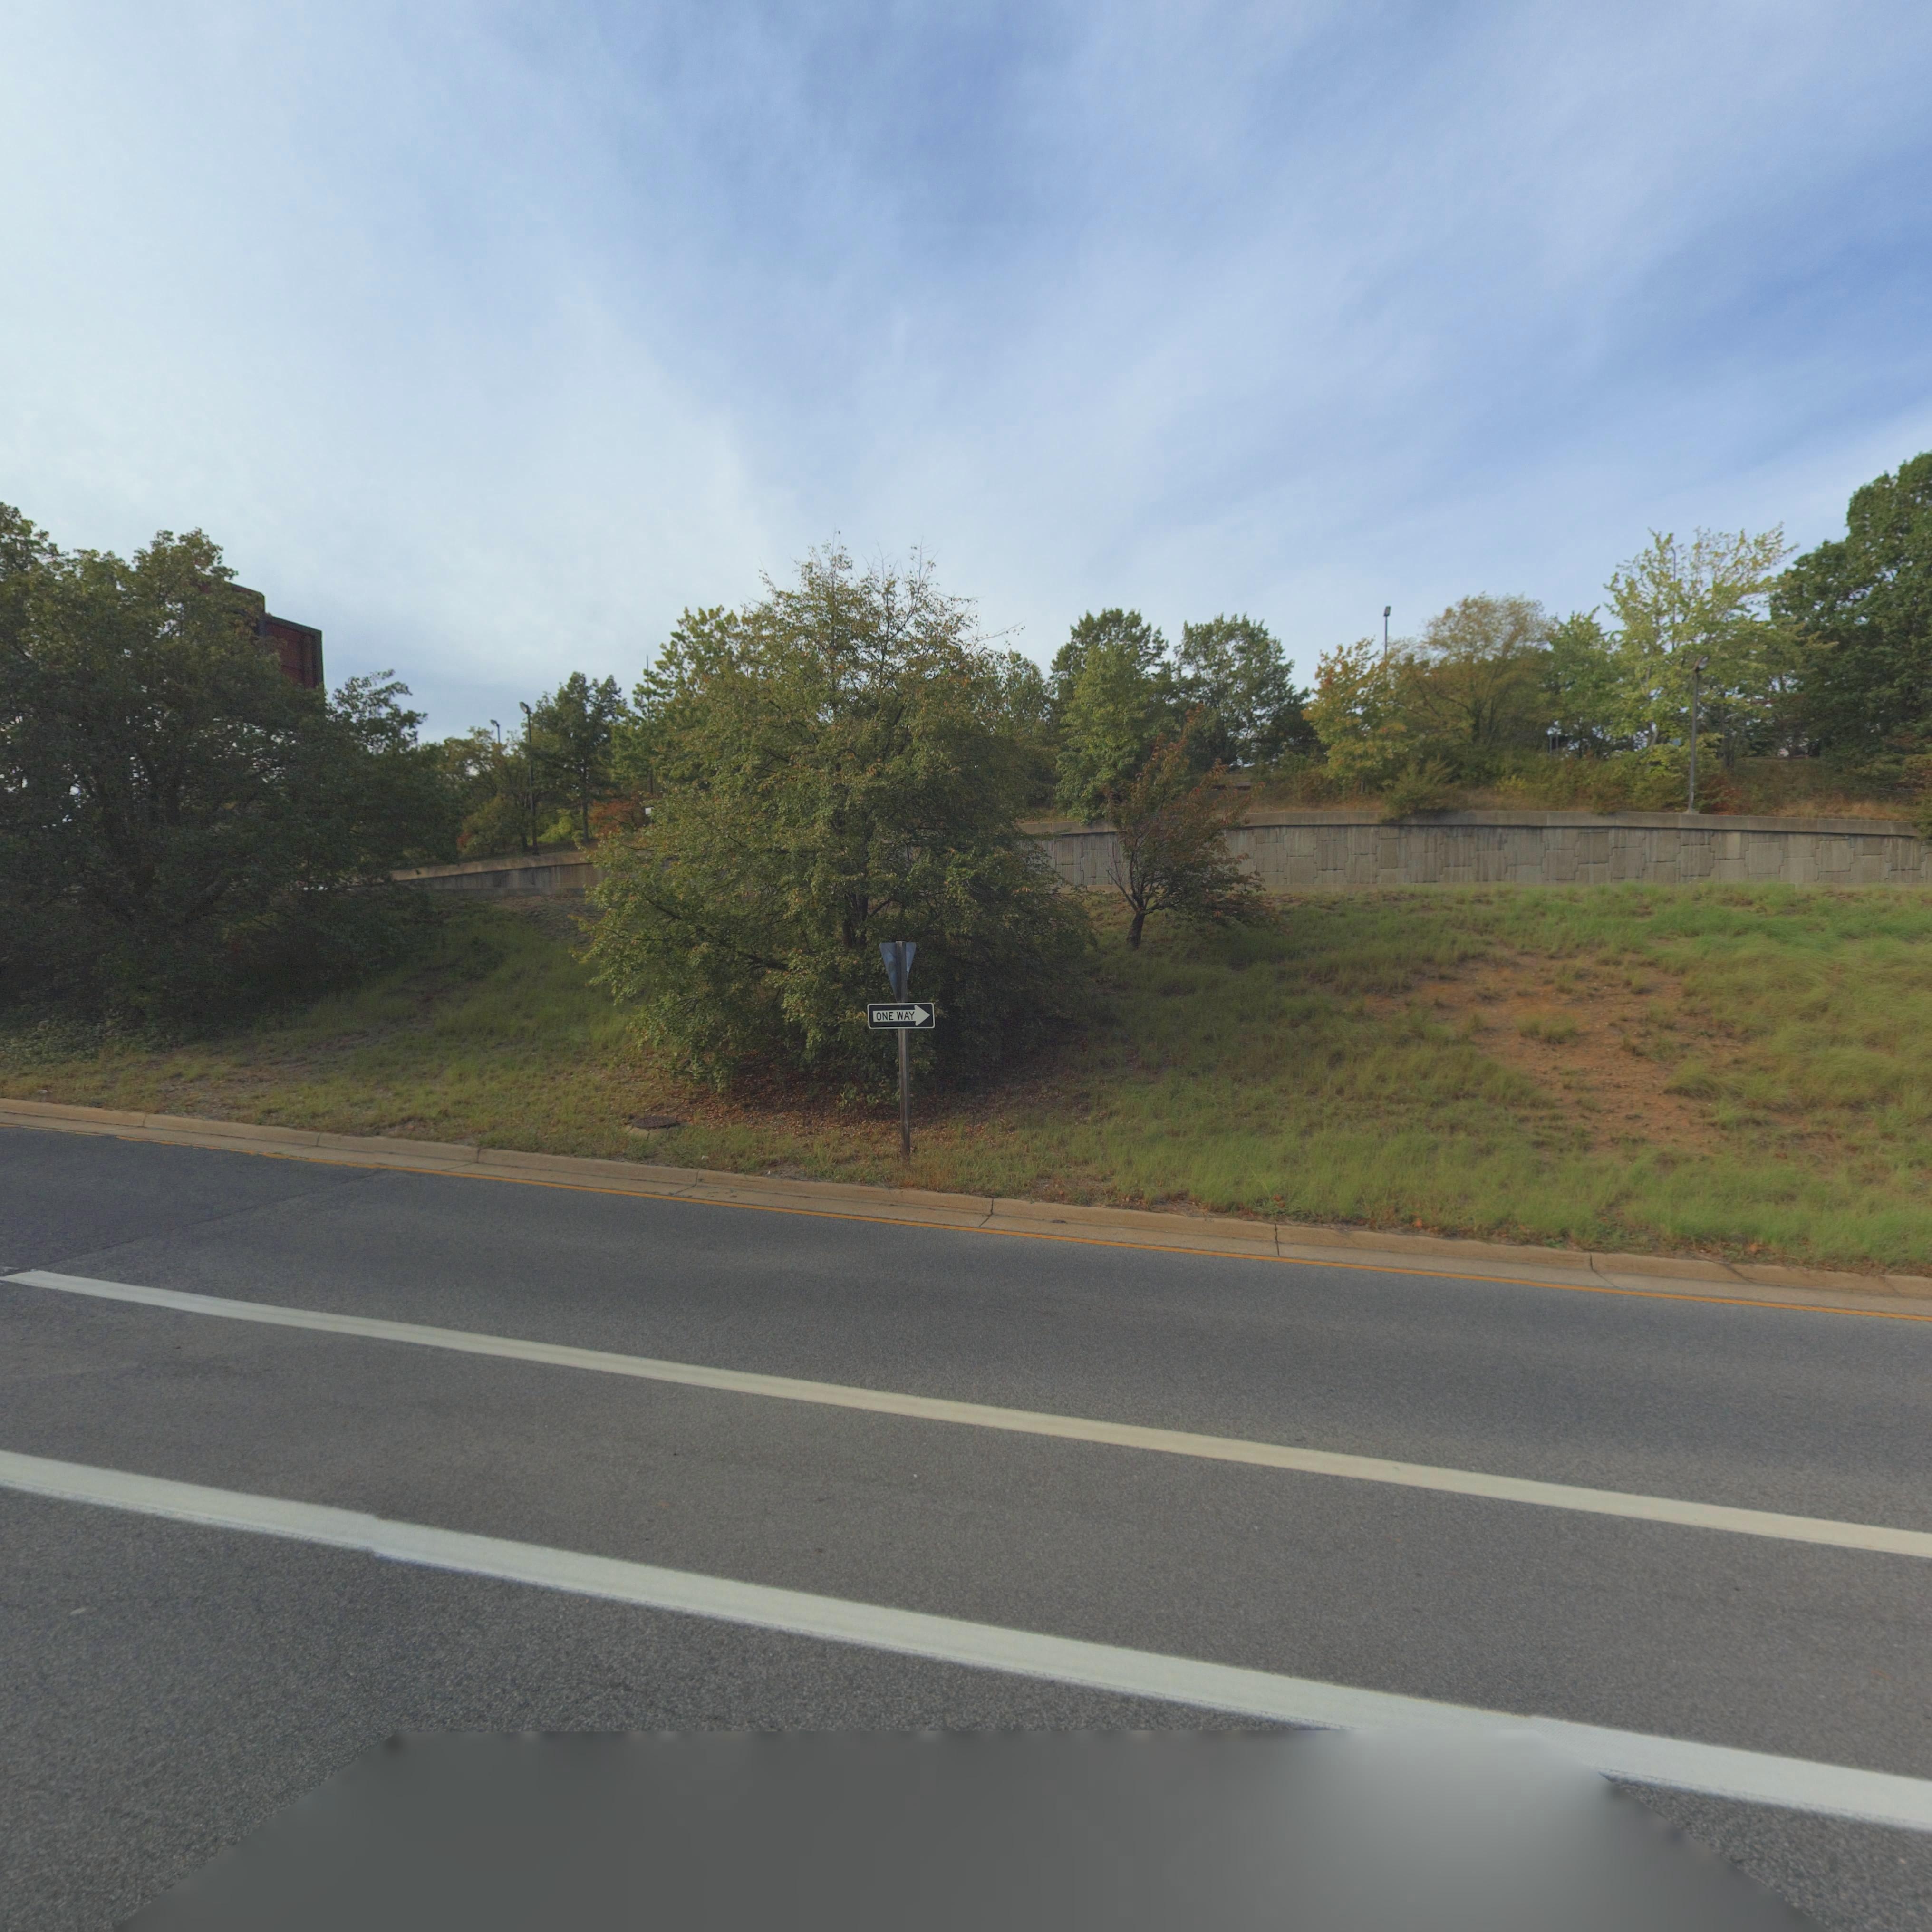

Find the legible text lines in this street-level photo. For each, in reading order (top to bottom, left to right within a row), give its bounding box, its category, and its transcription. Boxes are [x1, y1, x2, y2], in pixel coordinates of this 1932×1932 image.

[875, 1010, 917, 1022] None: ONE WAY